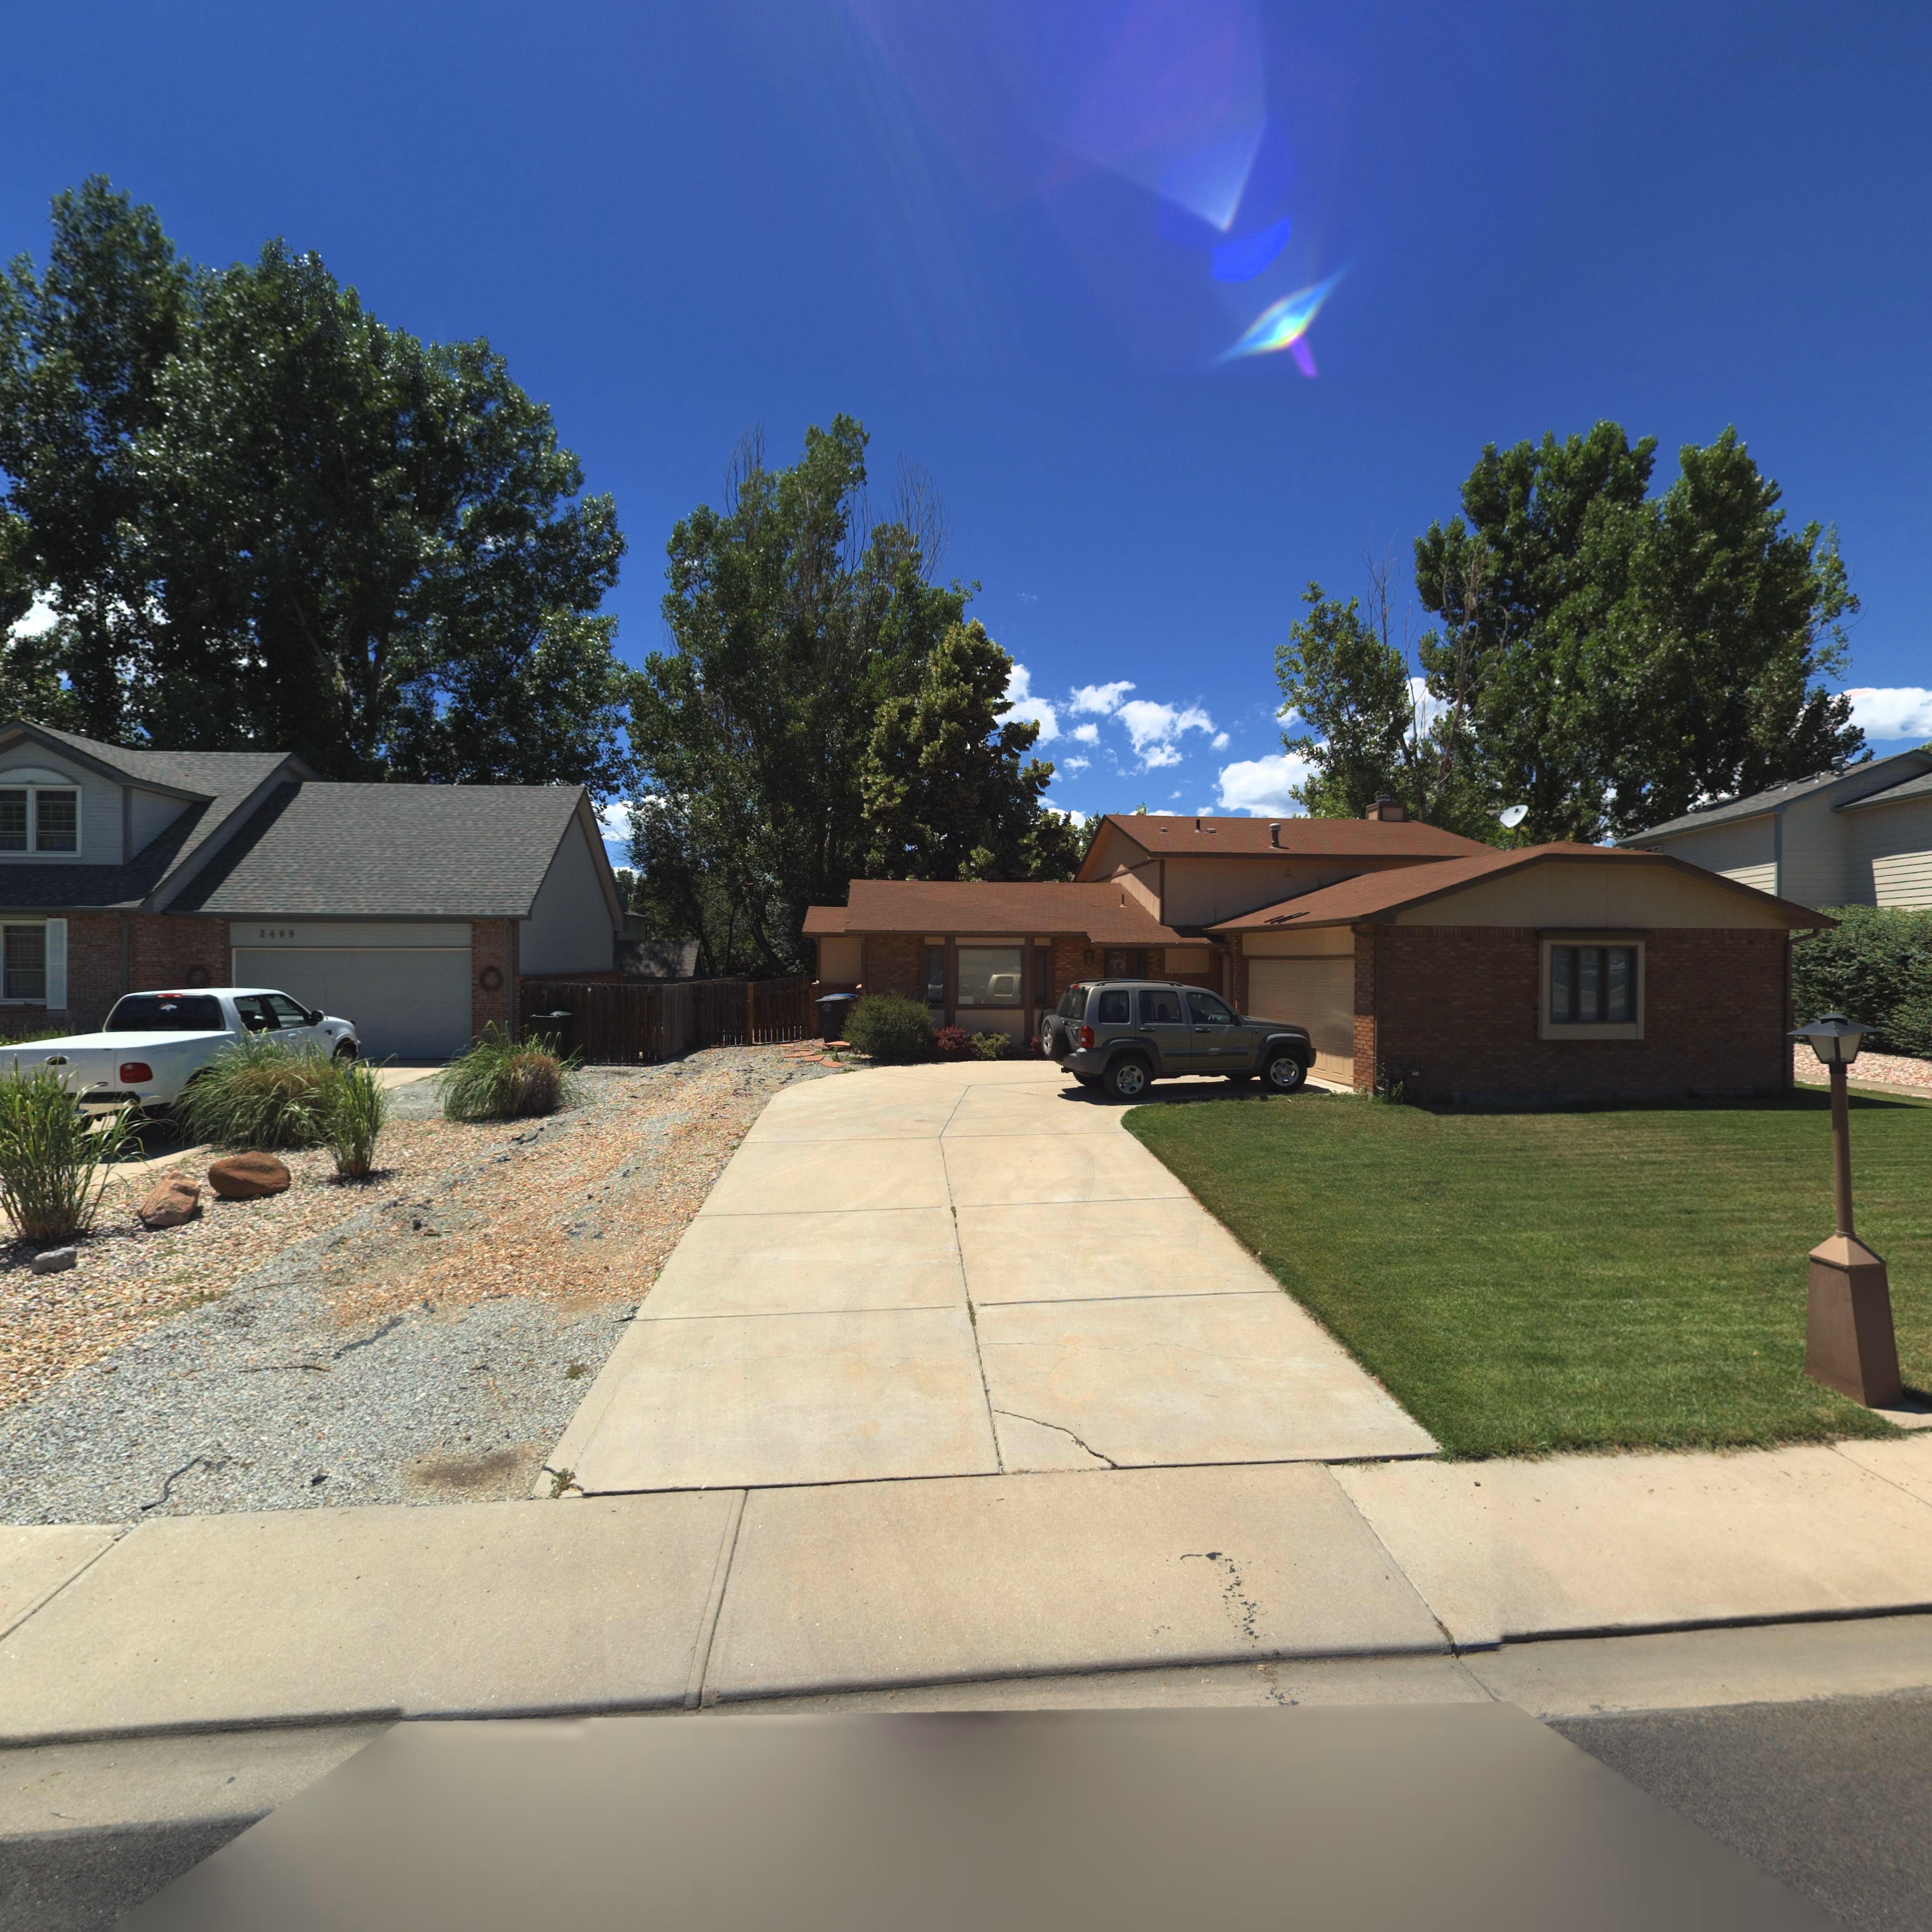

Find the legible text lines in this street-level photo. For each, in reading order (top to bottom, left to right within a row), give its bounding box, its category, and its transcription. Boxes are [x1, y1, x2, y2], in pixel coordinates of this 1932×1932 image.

[259, 929, 294, 938] StreetNumber: 2409
[1169, 967, 1182, 972] StreetNumber: 2417